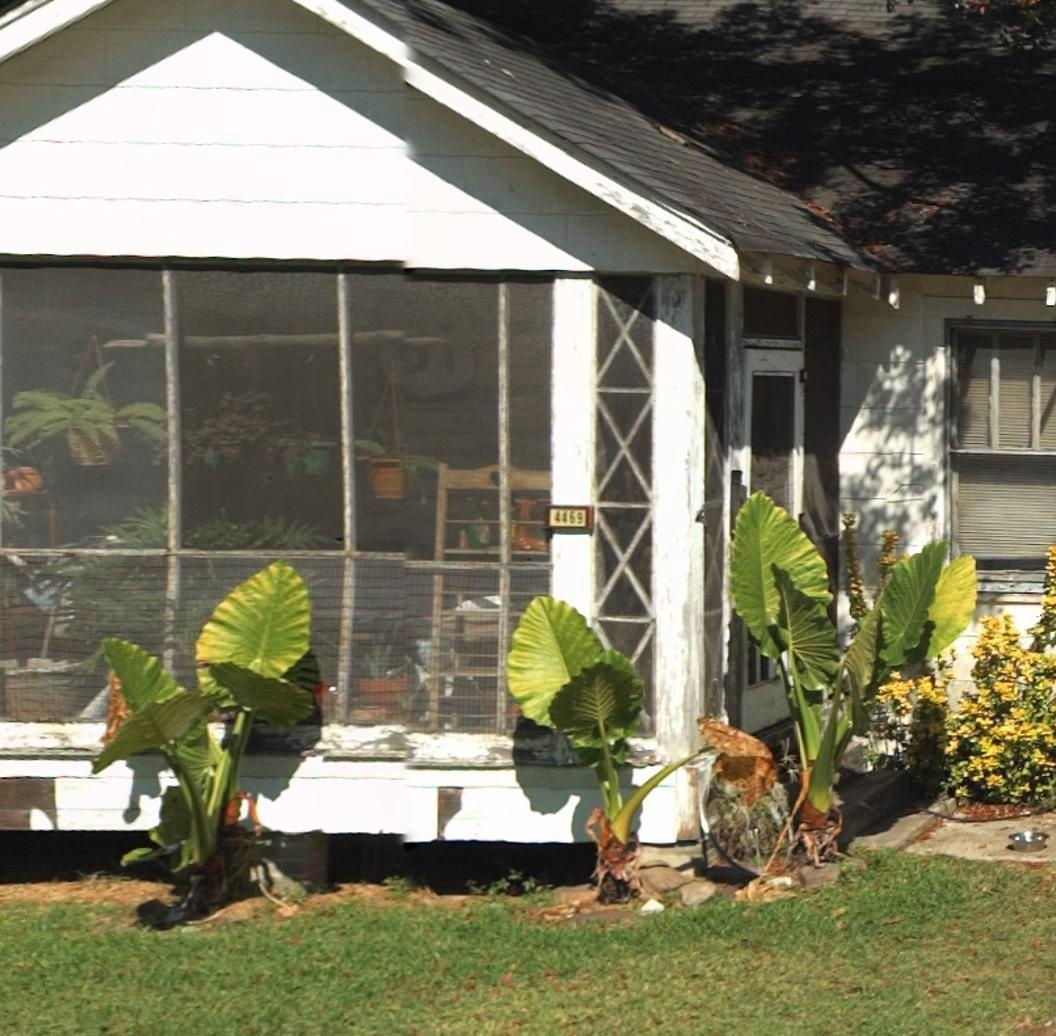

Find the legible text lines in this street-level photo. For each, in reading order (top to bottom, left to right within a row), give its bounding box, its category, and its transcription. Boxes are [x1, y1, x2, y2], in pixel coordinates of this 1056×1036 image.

[554, 510, 584, 525] StreetNumber: 4469